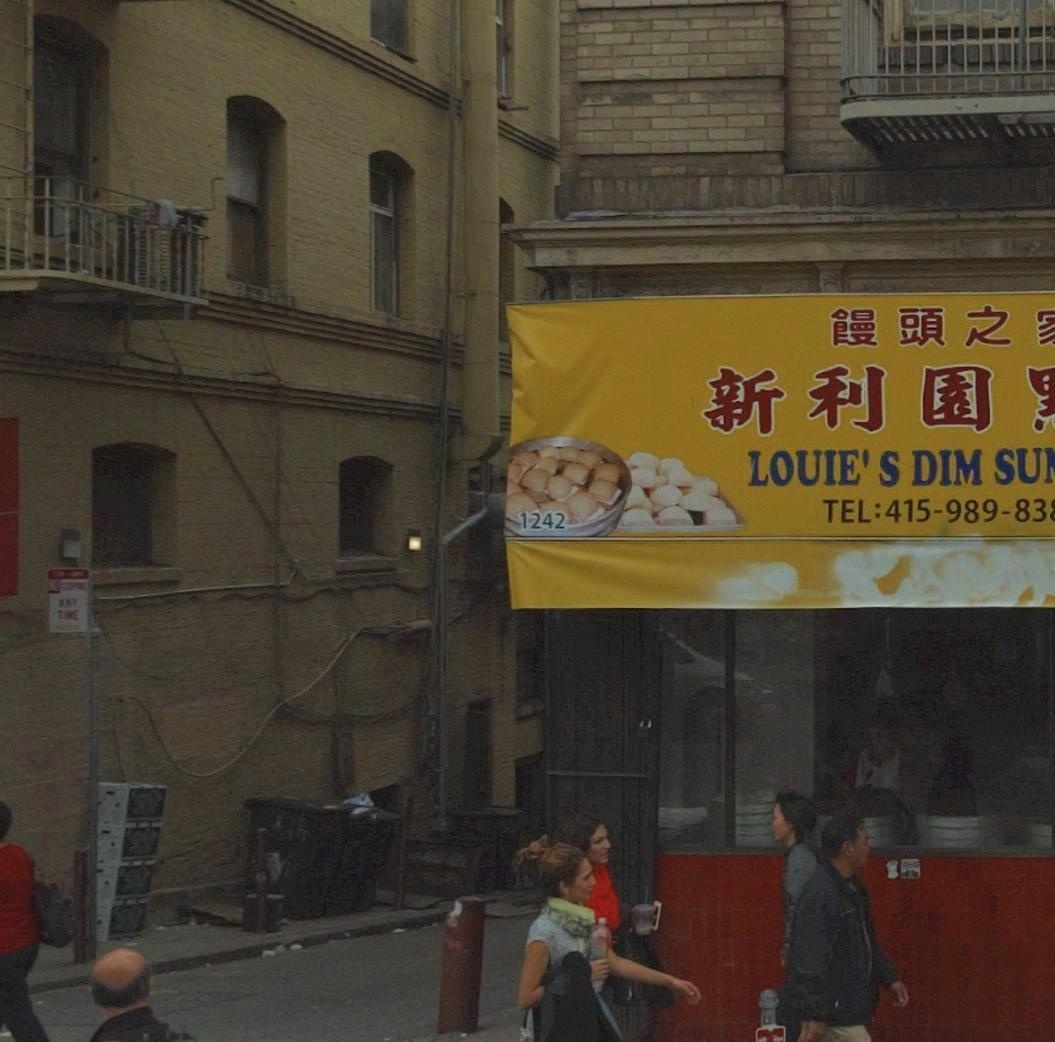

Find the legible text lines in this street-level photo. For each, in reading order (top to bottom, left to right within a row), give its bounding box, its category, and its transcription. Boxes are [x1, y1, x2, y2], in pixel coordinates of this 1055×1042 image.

[742, 442, 1046, 489] BusinessName: LOUIE'S DIM SU
[515, 509, 568, 533] StreetNumber: 1242
[819, 493, 1051, 528] None: TEL:415-989-83
[50, 577, 62, 592] None: O
[55, 607, 81, 622] None: TIME
[57, 597, 80, 610] None: ANY